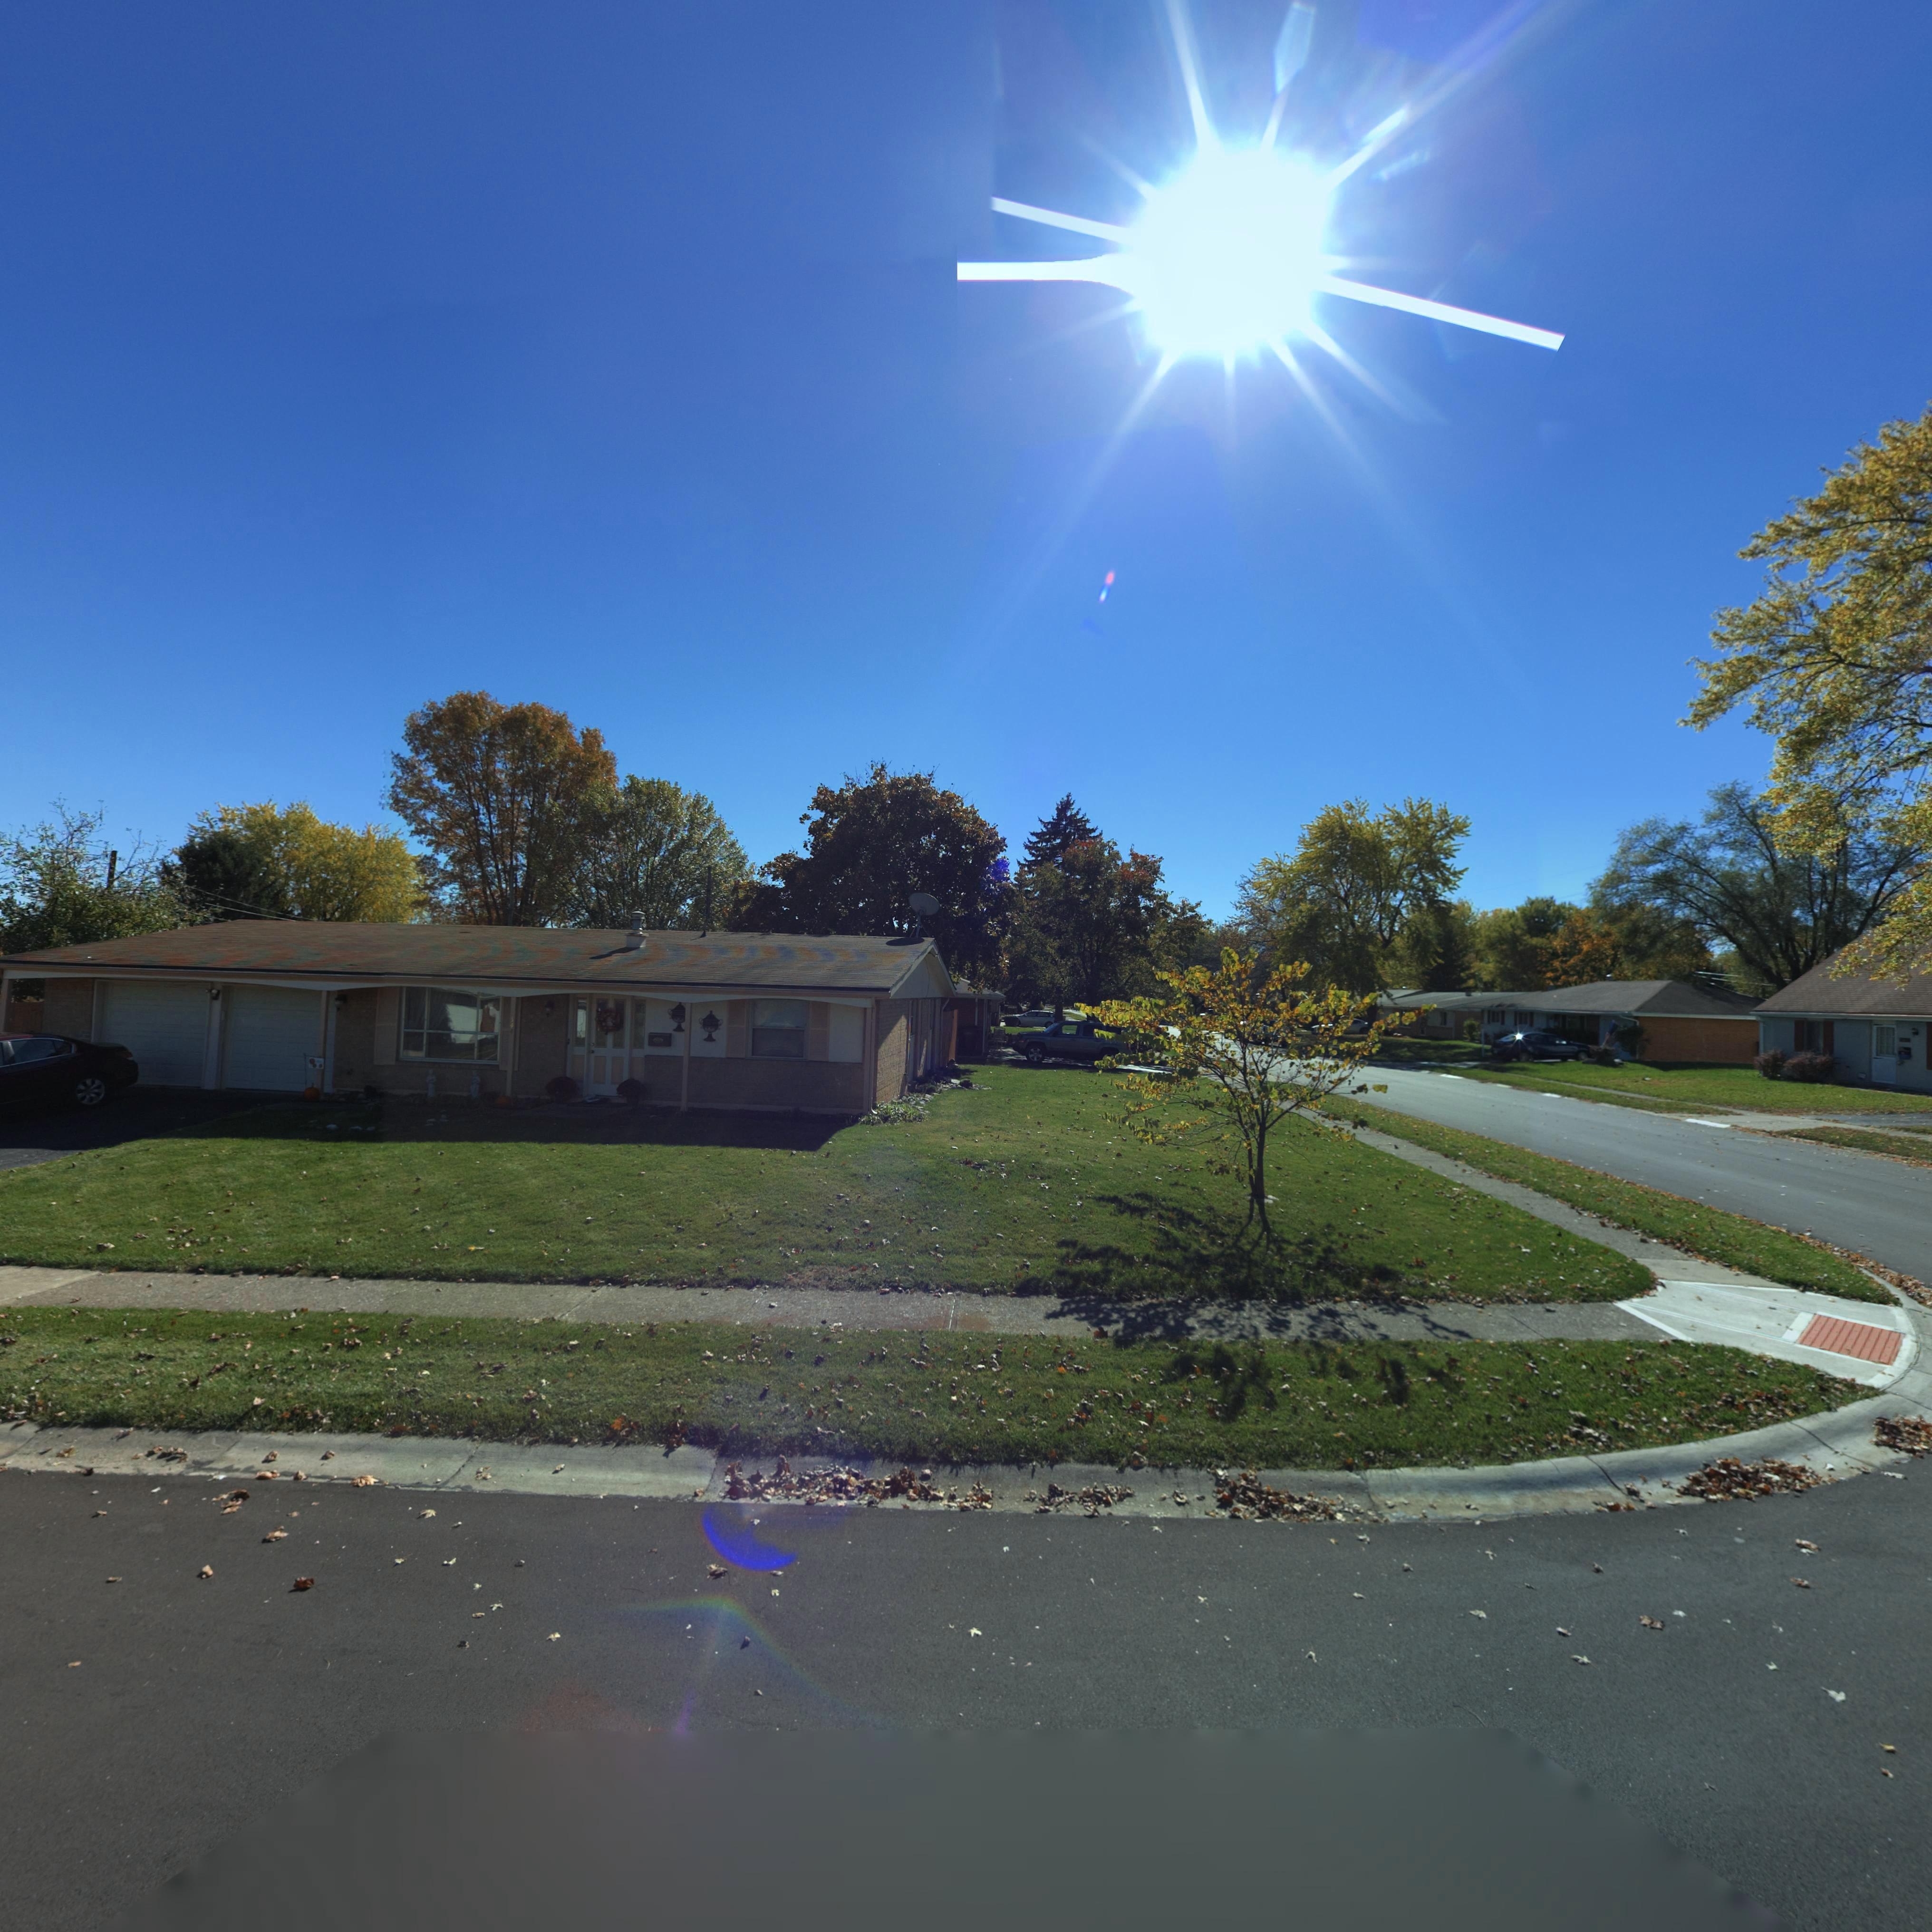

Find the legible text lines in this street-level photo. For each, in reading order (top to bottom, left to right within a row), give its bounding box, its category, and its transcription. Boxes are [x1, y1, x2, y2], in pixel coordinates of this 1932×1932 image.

[509, 1015, 515, 1035] StreetNumber: 344